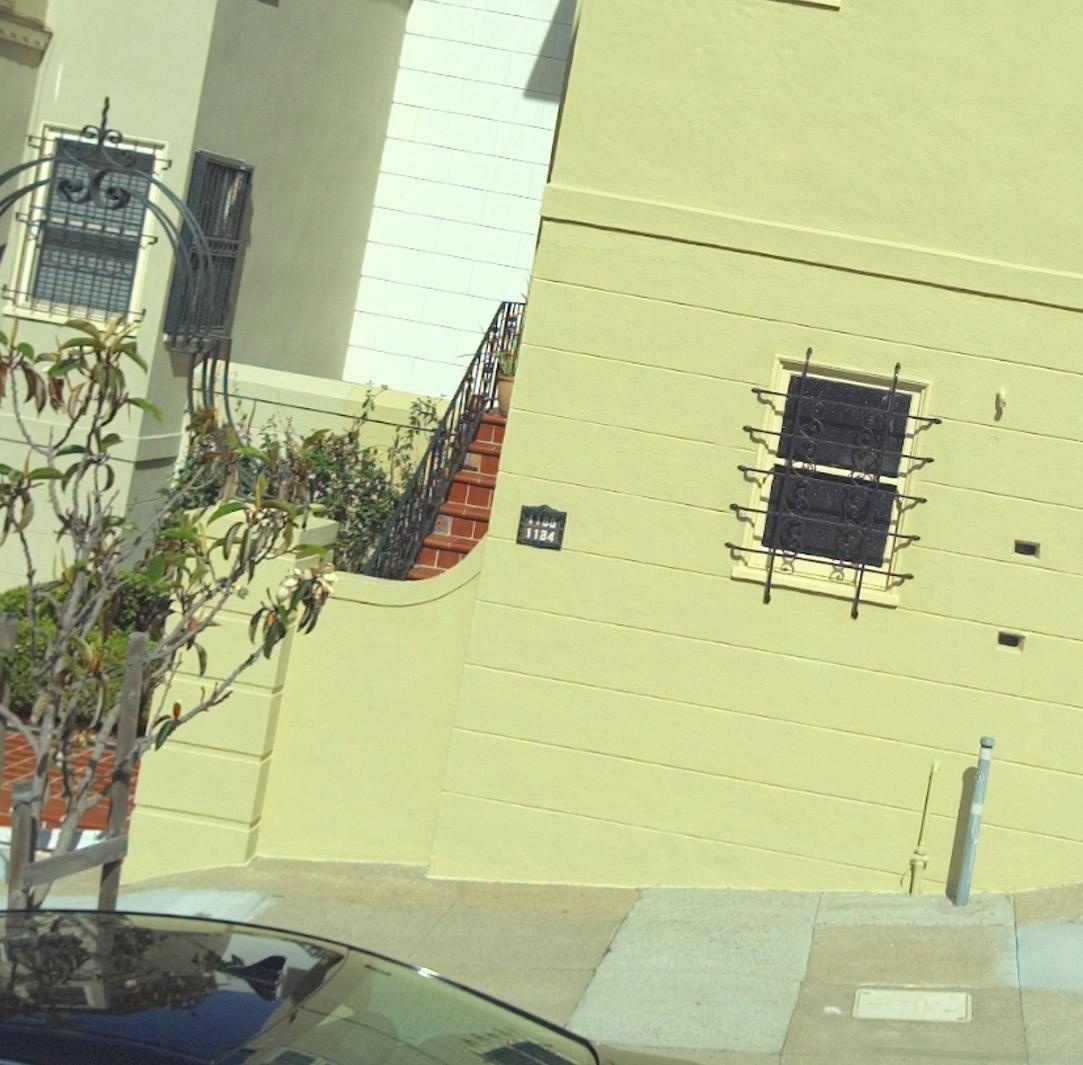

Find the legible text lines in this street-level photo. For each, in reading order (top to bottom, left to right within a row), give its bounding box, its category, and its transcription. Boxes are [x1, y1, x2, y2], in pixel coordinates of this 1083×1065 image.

[524, 526, 556, 544] StreetNumber: 1184